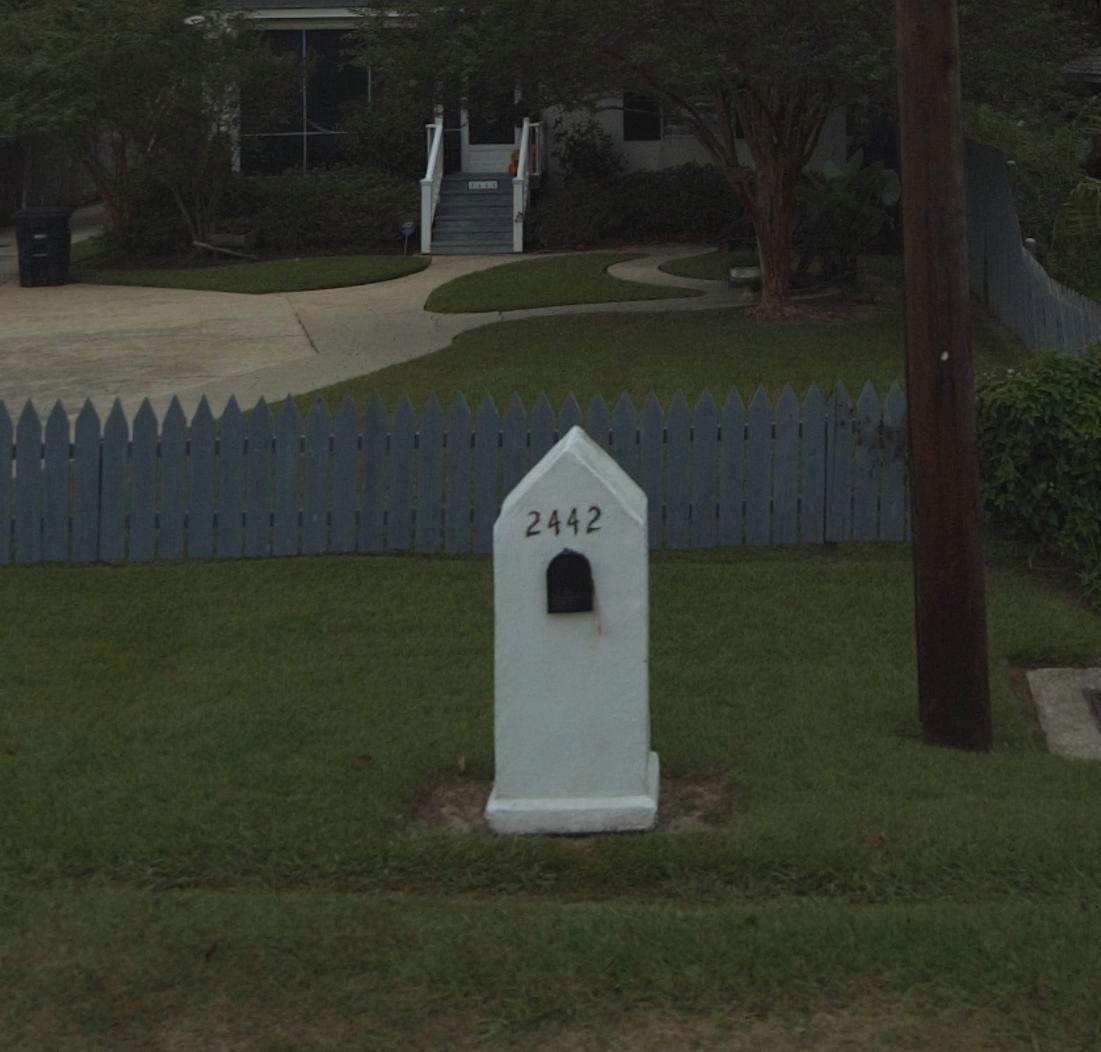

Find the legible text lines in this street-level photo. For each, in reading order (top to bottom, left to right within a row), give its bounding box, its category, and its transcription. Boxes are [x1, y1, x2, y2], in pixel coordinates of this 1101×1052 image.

[523, 503, 604, 538] StreetNumber: 2442